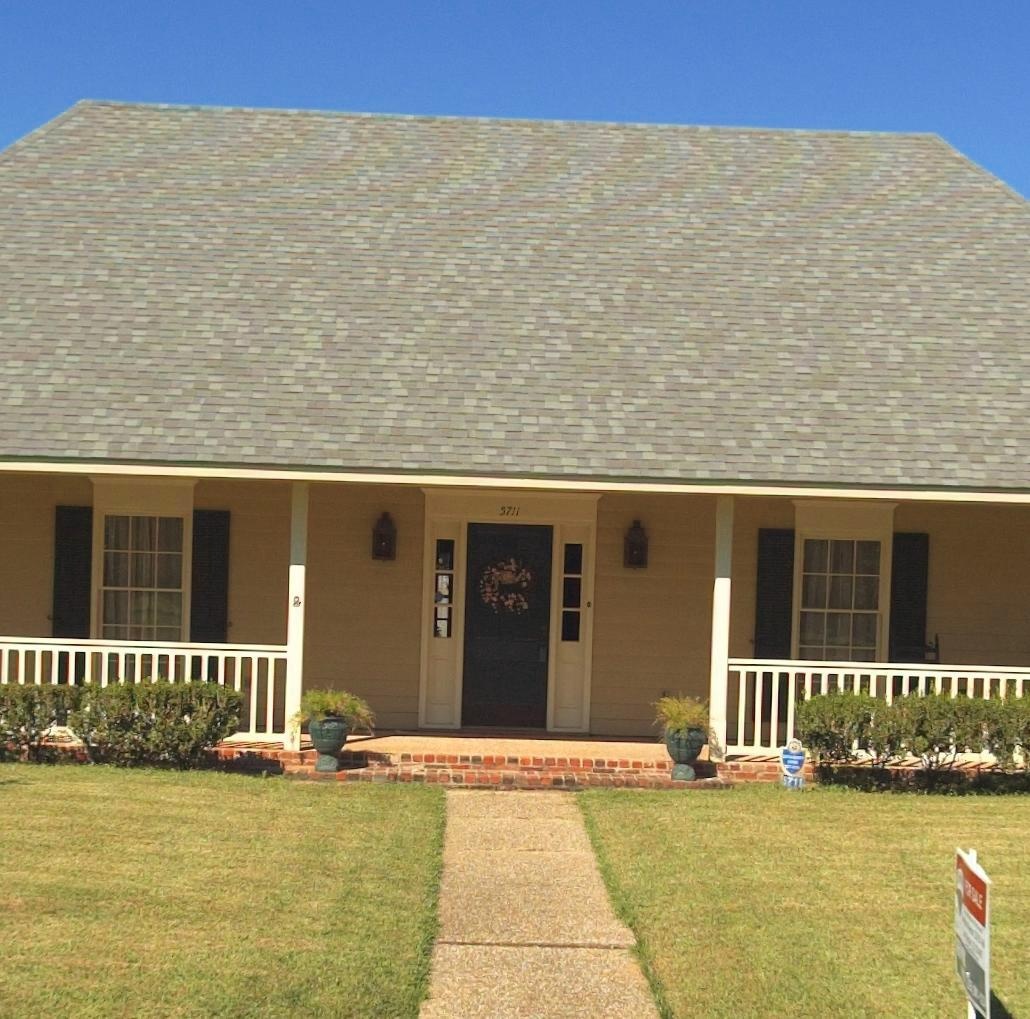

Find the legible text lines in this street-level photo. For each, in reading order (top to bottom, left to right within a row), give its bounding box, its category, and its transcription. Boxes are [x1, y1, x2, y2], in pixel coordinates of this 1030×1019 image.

[496, 503, 523, 519] StreetNumber: 5711